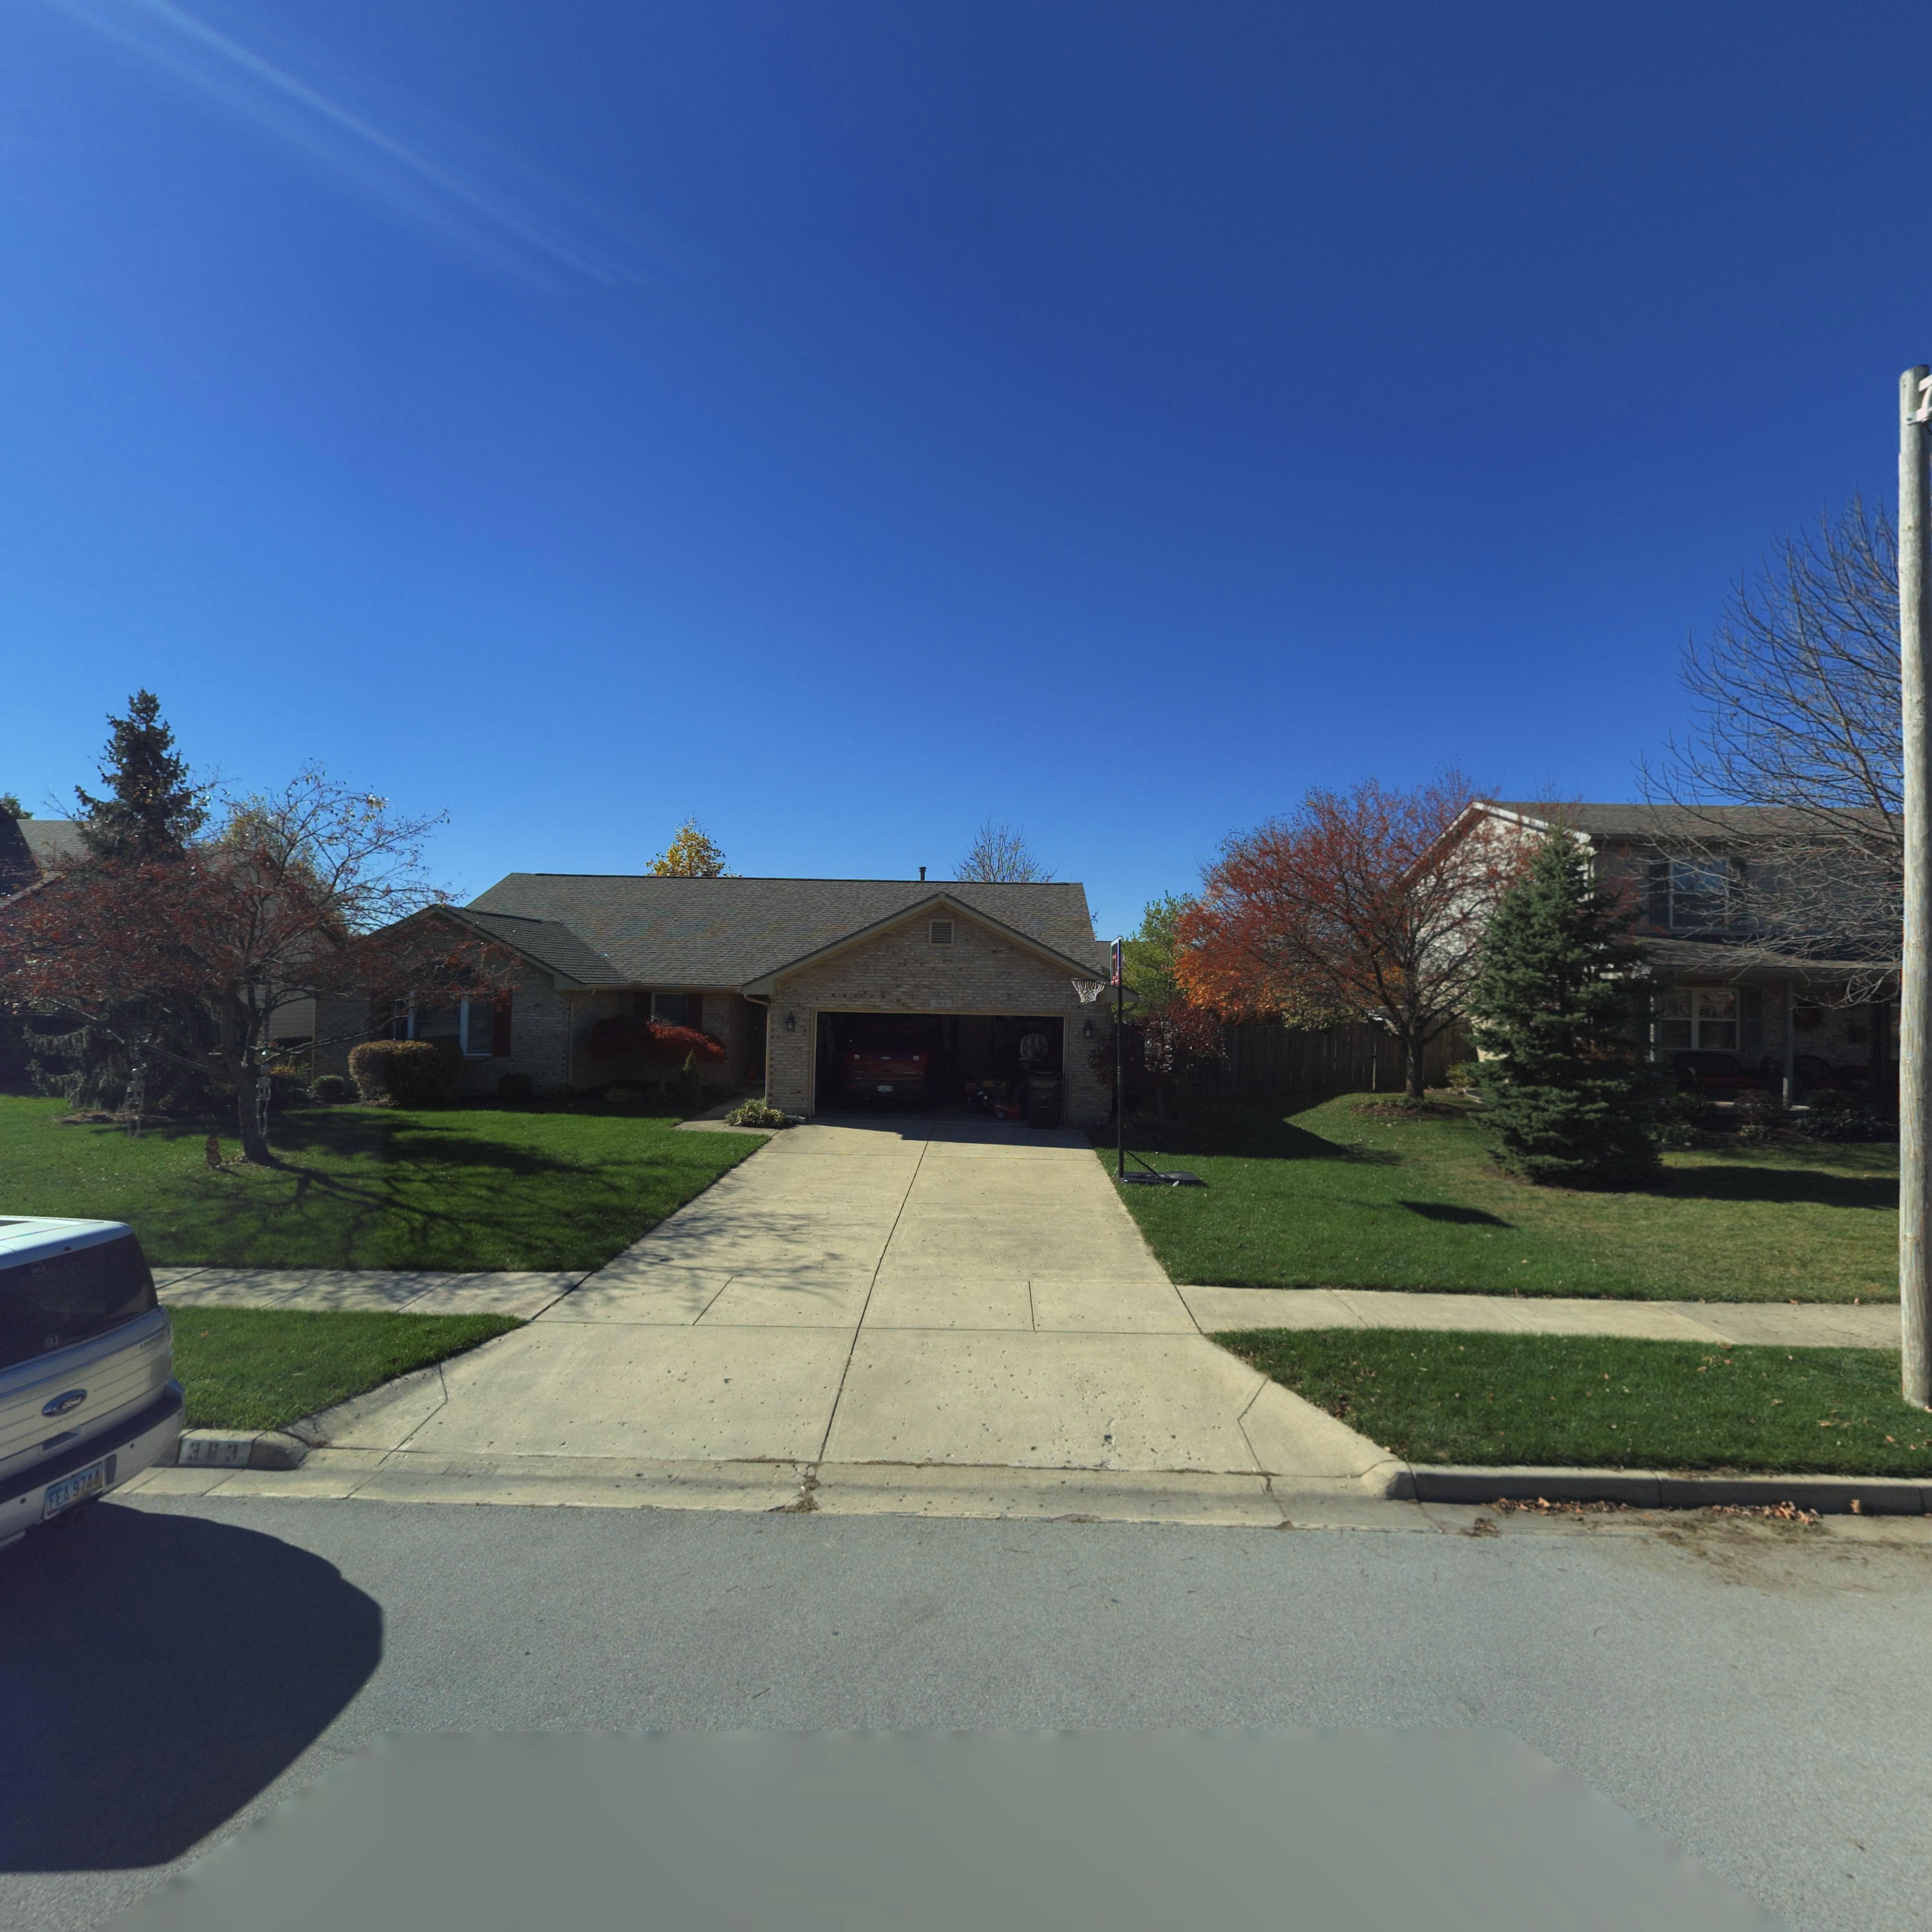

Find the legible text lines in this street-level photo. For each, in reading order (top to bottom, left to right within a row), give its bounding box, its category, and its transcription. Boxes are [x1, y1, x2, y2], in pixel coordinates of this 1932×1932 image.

[935, 1000, 947, 1007] StreetNumber: 363